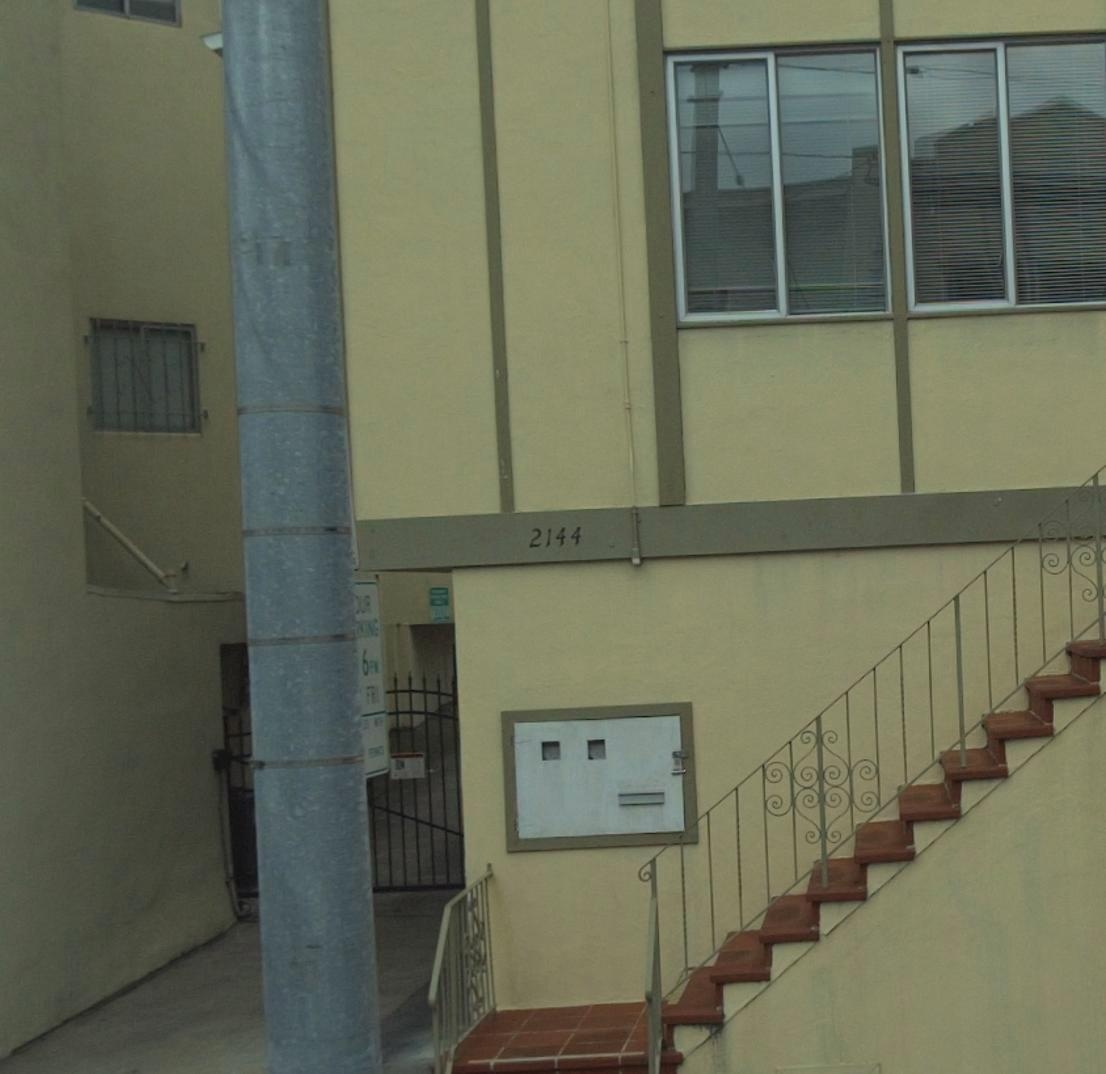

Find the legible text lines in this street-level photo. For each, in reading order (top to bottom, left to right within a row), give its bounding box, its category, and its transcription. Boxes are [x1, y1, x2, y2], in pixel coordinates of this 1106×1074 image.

[528, 522, 582, 549] StreetNumber: 2144
[356, 592, 374, 615] None: UR
[357, 616, 380, 640] None: KING
[359, 646, 383, 679] None: 6PM
[363, 681, 383, 708] None: FRI